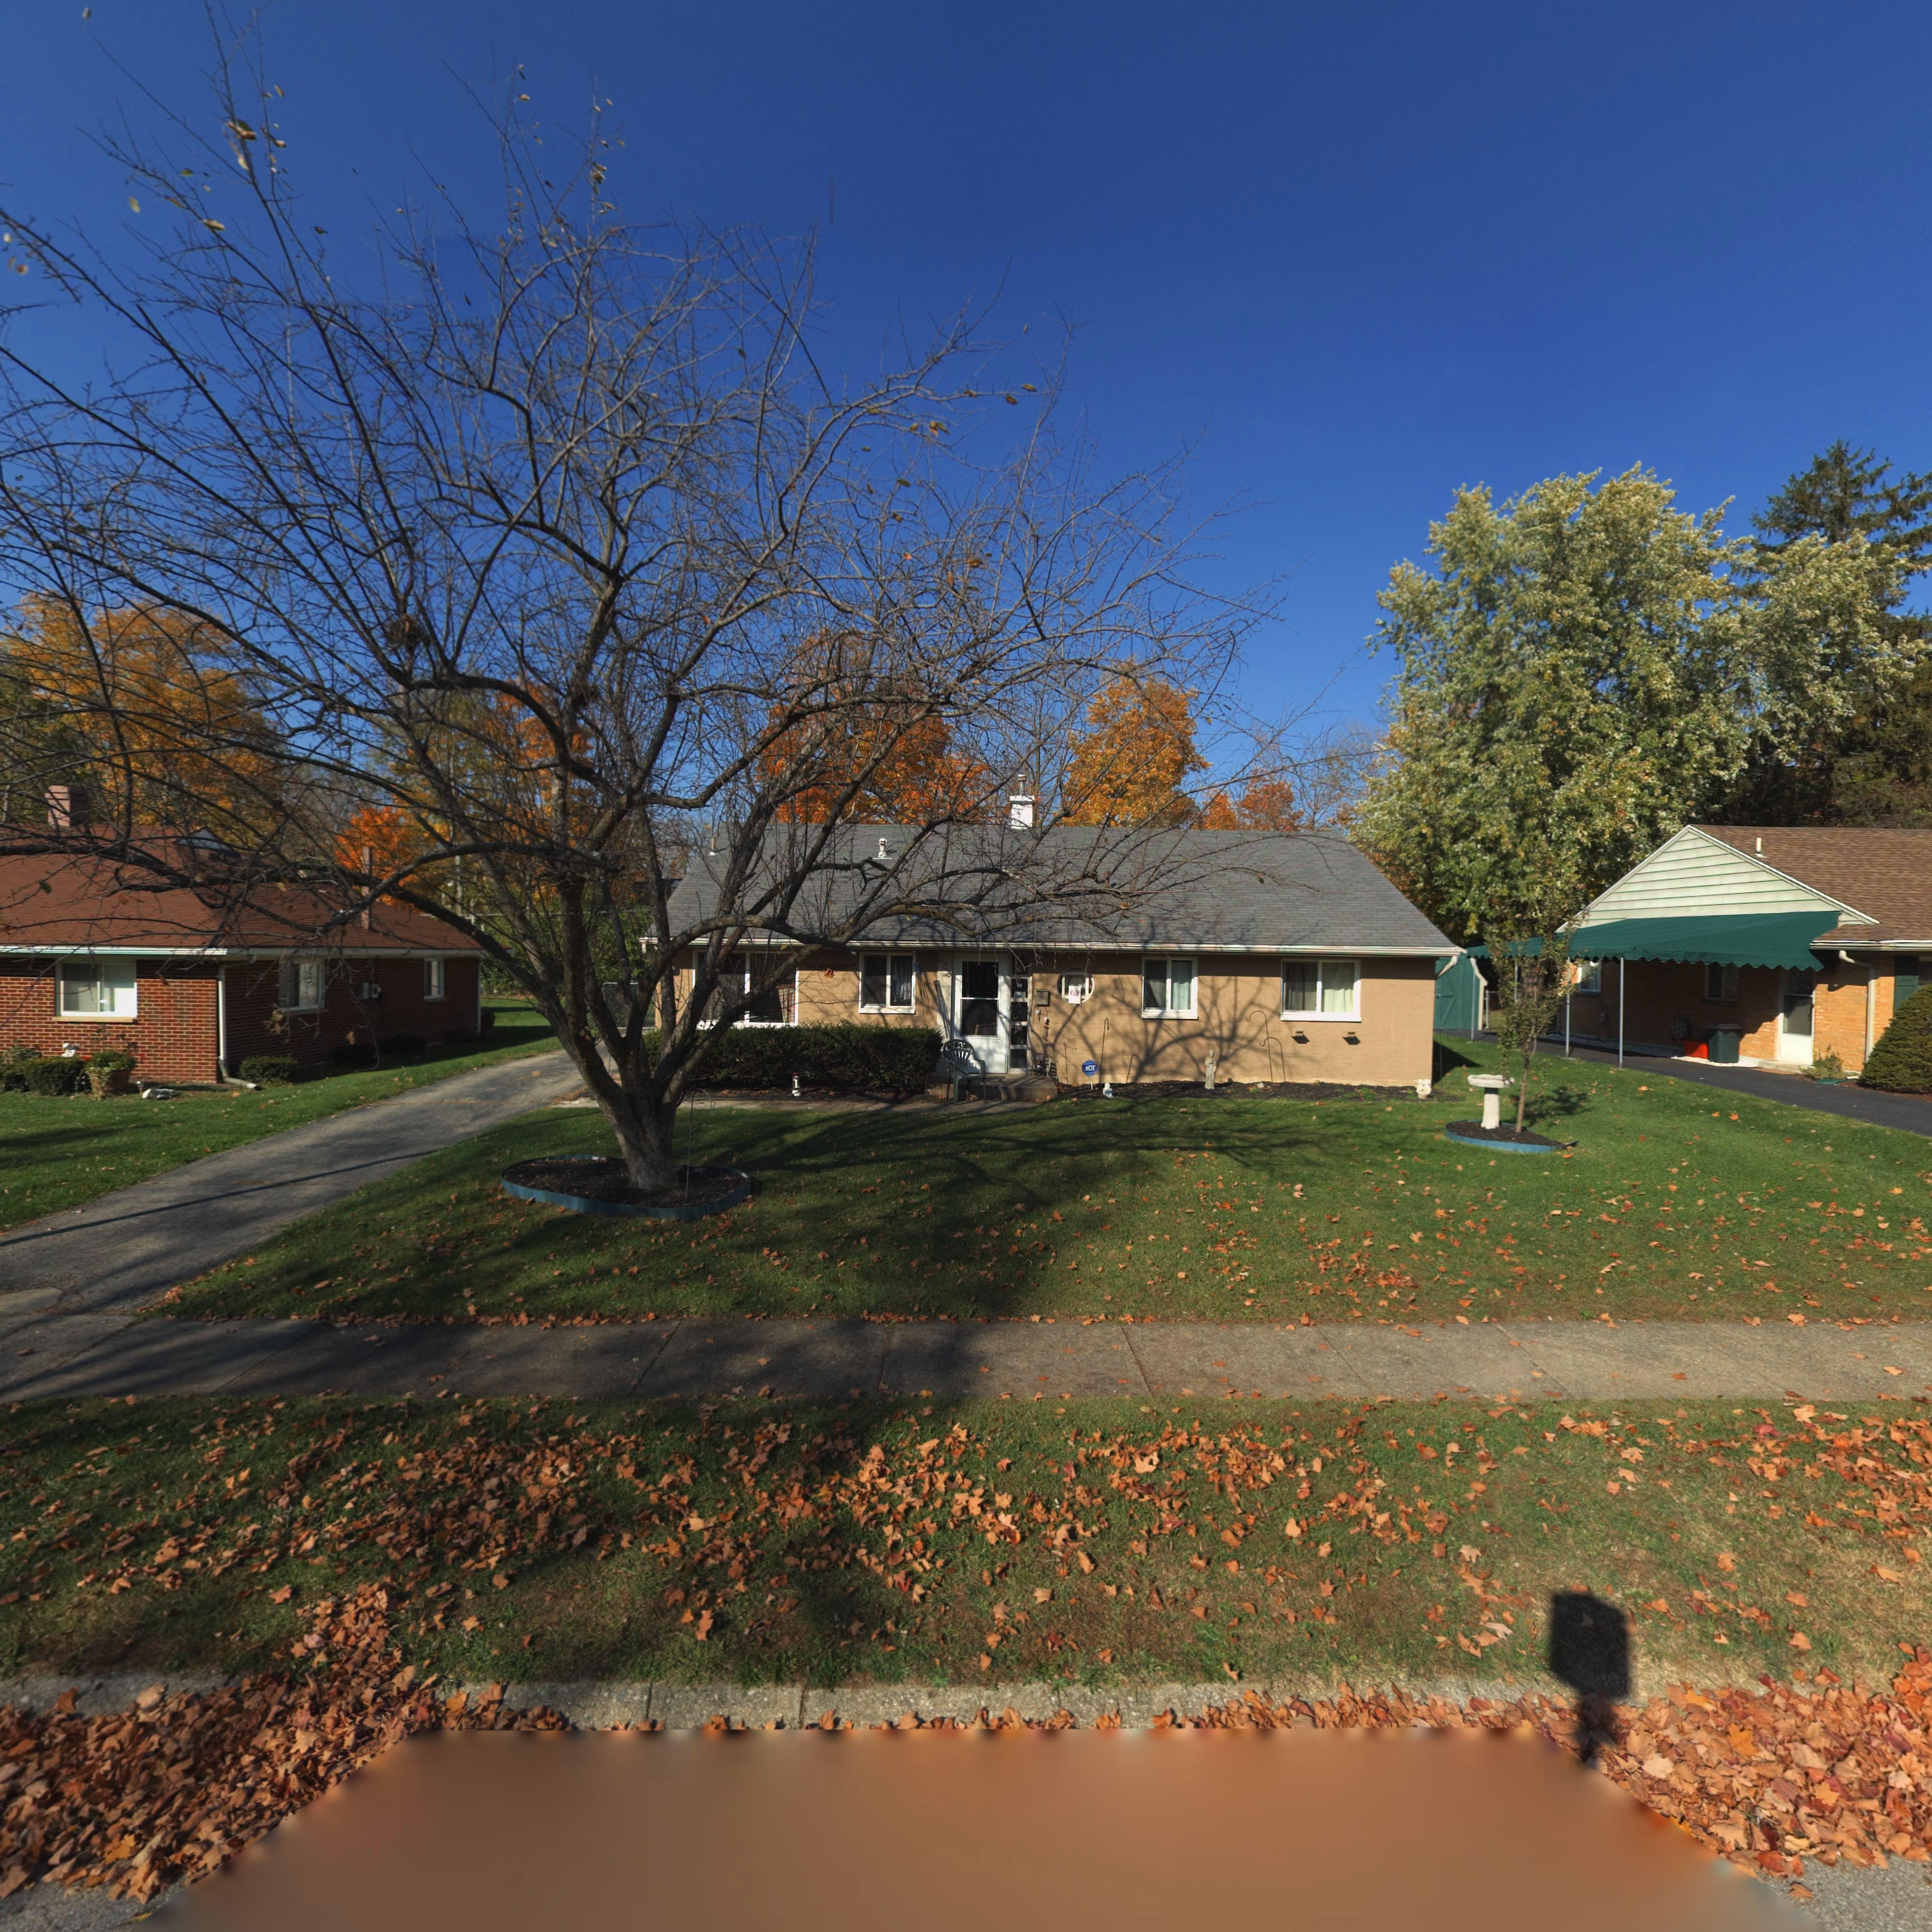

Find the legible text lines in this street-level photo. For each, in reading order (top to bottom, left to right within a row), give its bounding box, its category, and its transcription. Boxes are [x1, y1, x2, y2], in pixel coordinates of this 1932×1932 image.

[937, 955, 953, 978] StreetNumber: 633